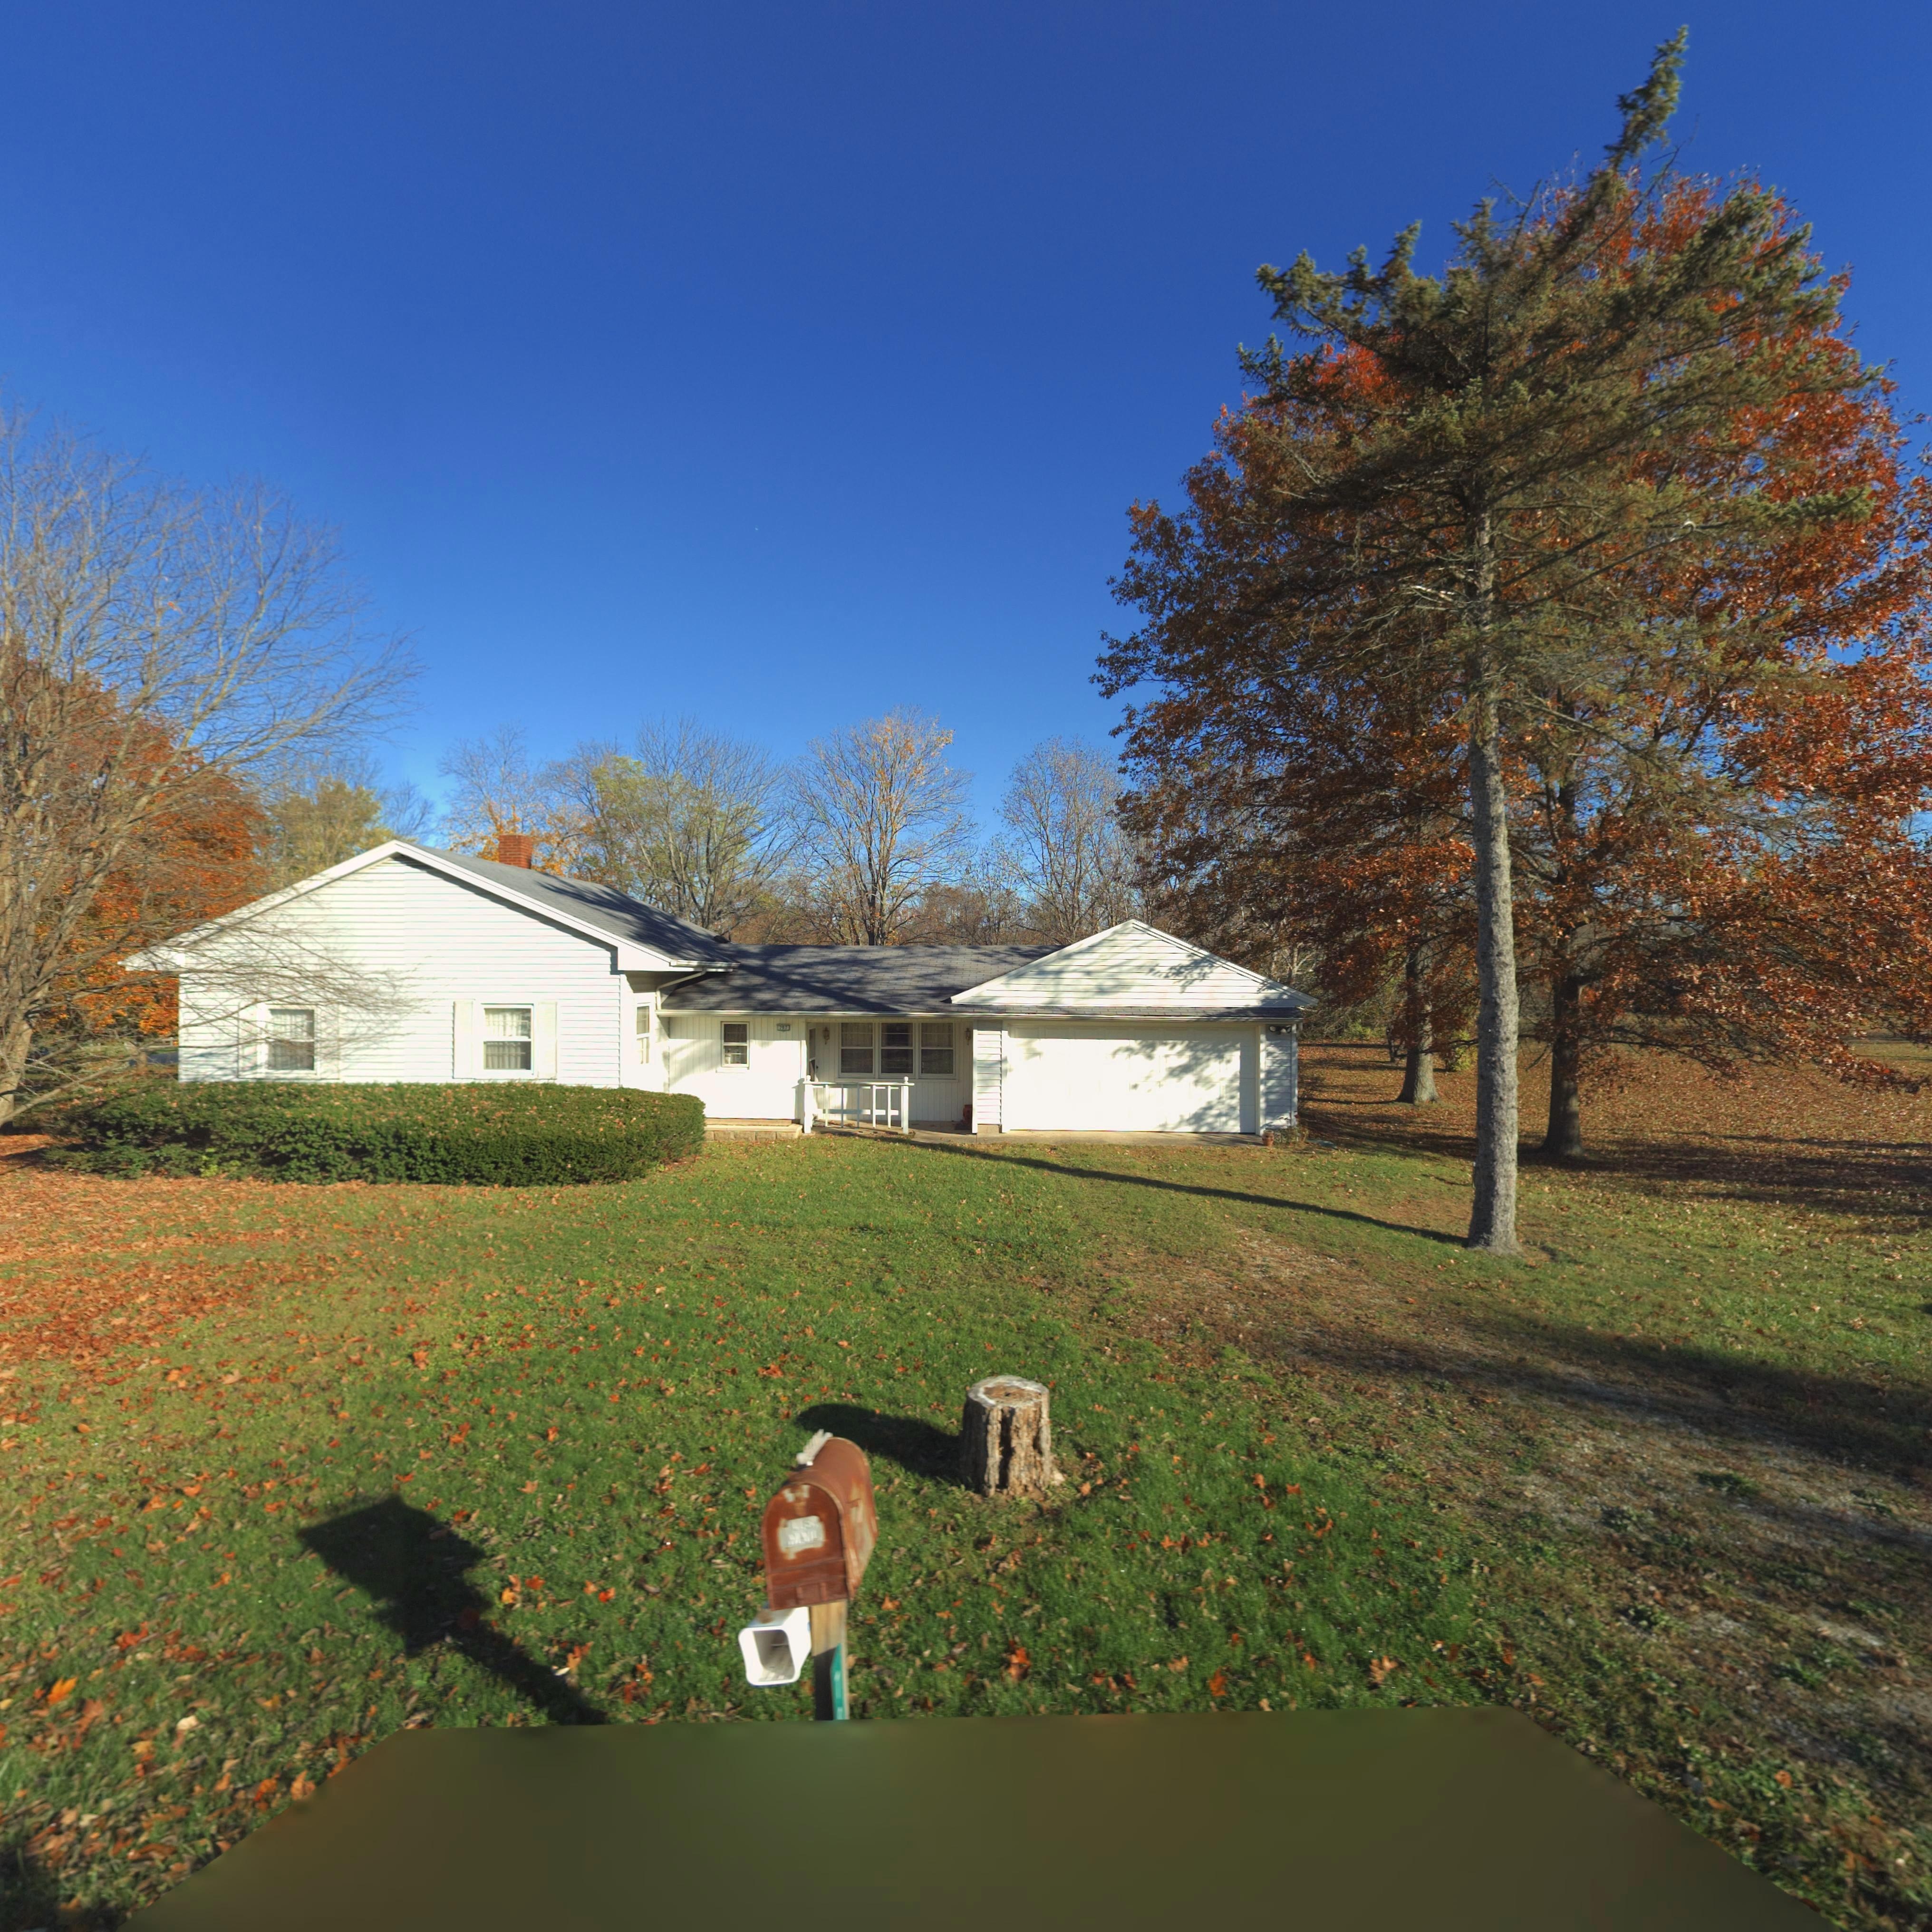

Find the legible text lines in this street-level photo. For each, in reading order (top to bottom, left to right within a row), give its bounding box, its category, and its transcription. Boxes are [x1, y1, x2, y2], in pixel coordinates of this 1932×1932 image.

[779, 1025, 788, 1030] StreetNumber: 797
[832, 1668, 843, 1702] StreetNumber: 7